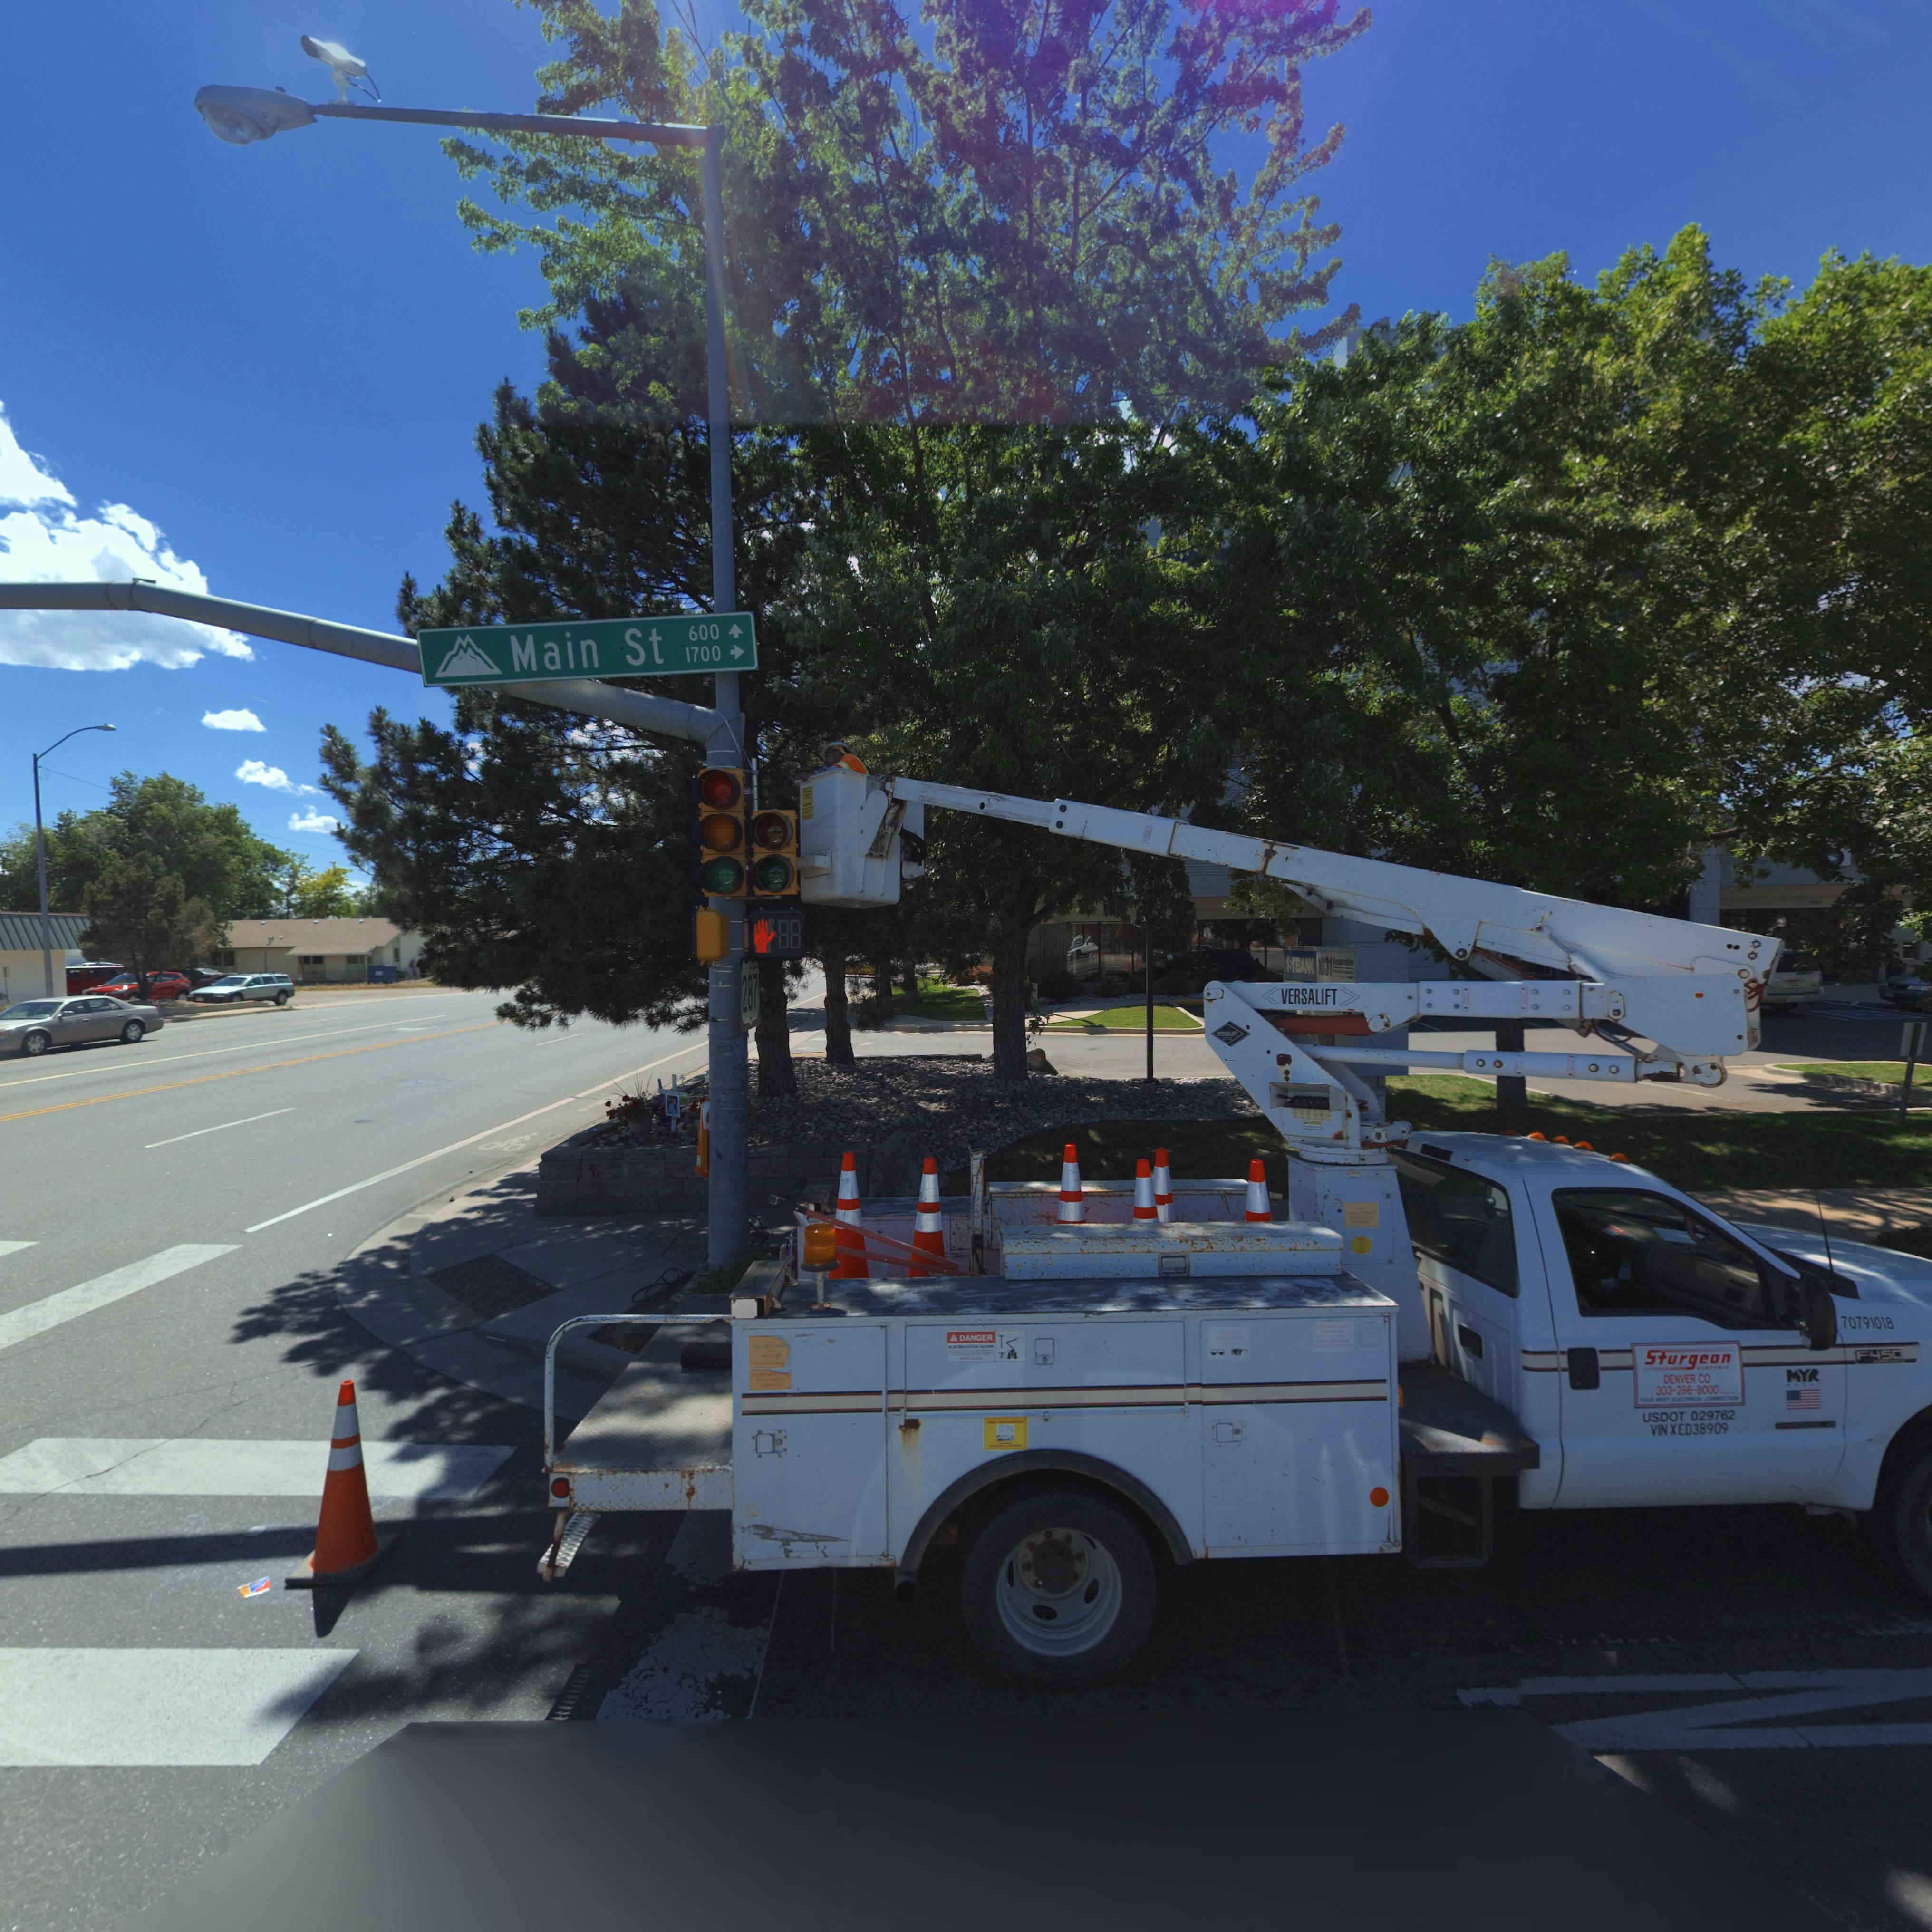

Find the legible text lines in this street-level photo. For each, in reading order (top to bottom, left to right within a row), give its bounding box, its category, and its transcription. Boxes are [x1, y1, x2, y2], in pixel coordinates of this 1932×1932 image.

[687, 623, 720, 643] StreetNumberRange: 600
[509, 625, 666, 673] StreetName: Main St
[685, 644, 745, 663] StreetNumberRange:  1700 ->
[1285, 956, 1315, 975] BusinessName: 1STBAN*
[1316, 956, 1332, 976] BusinessName: 1031
[1333, 957, 1354, 966] BusinessName: Corporation